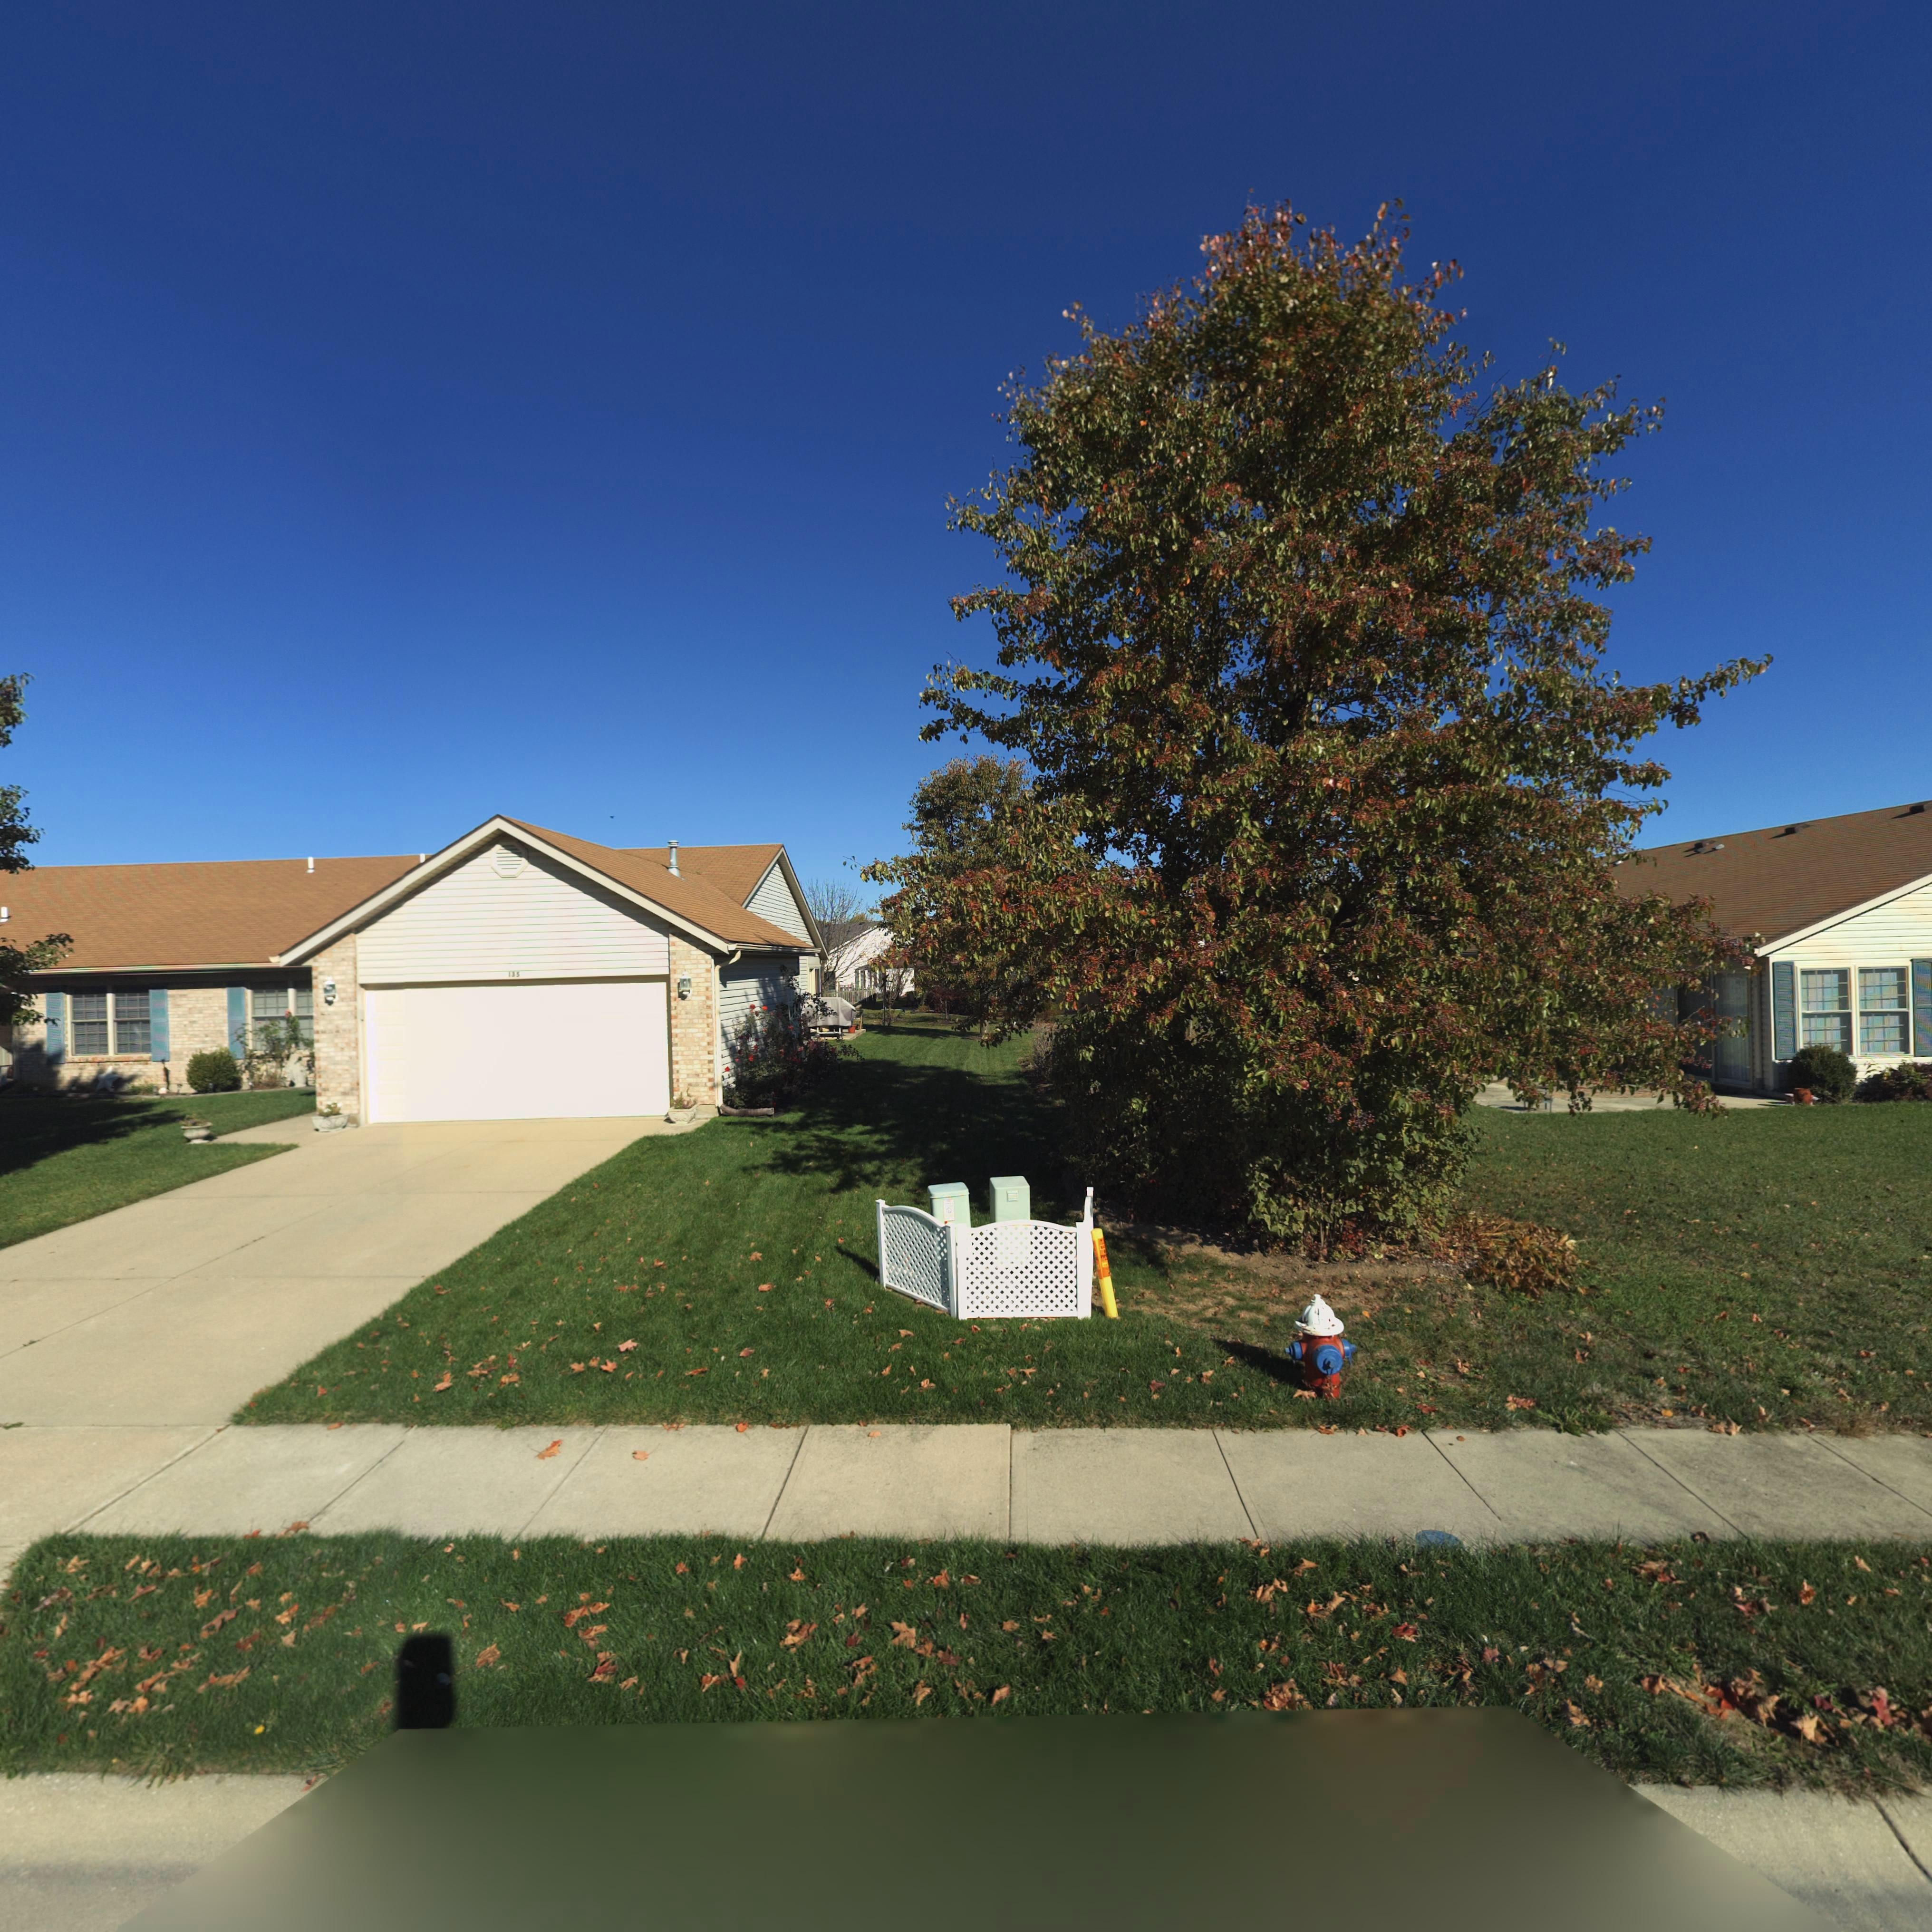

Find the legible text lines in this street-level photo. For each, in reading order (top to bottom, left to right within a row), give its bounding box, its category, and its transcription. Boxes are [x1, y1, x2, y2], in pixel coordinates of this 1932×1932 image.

[508, 971, 520, 977] StreetNumber: 135